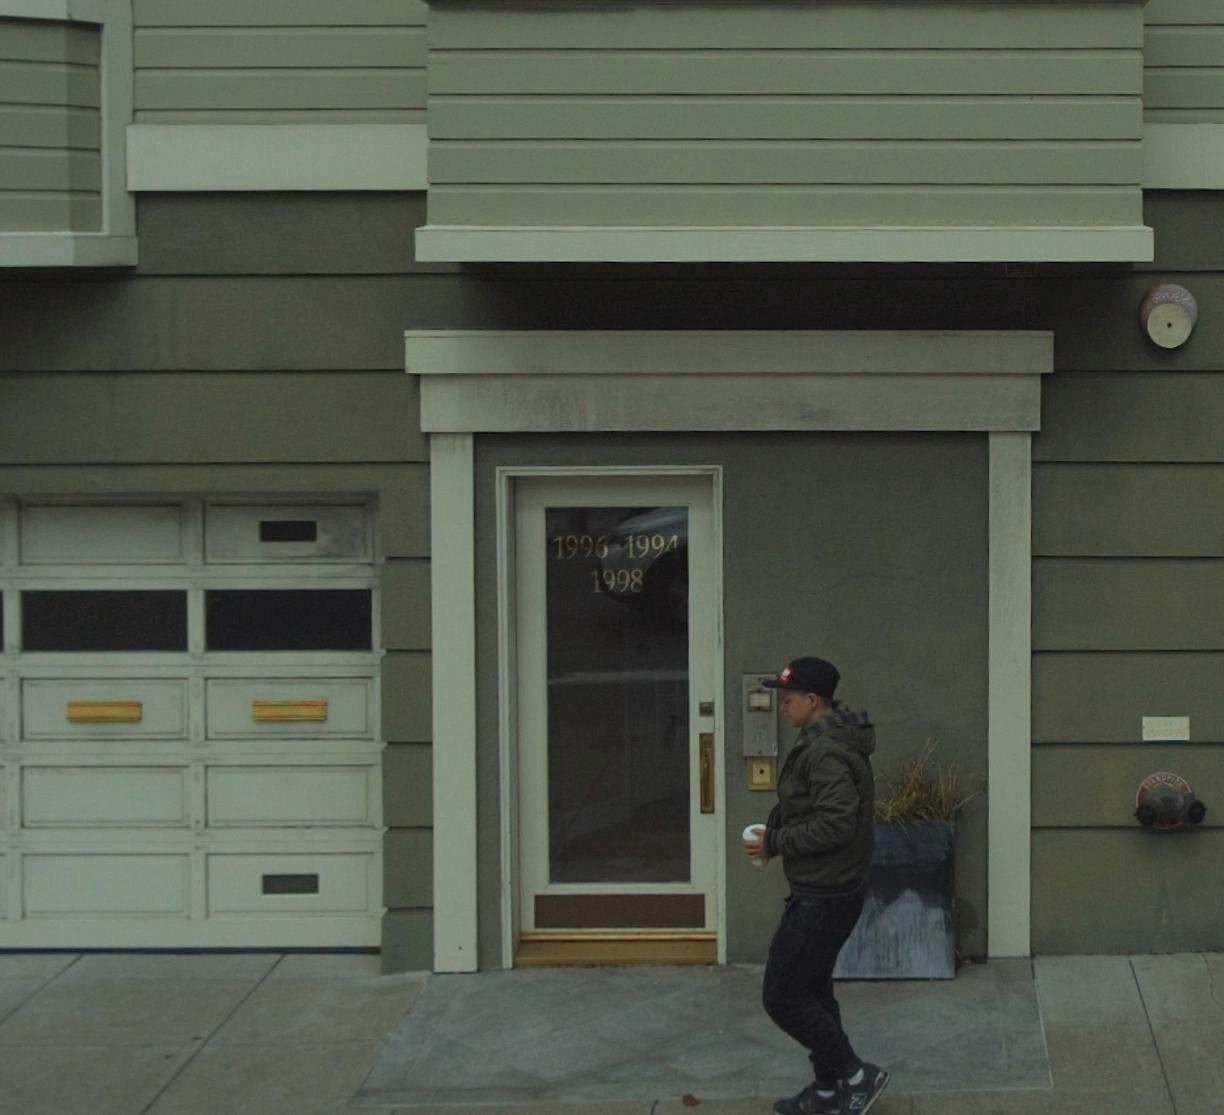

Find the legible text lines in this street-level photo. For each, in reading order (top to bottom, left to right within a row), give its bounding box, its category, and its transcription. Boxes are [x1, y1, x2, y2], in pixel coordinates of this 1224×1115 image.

[551, 532, 610, 563] StreetNumber: 1996
[622, 531, 681, 561] StreetNumber: 1994
[587, 566, 643, 594] StreetNumber: 1998